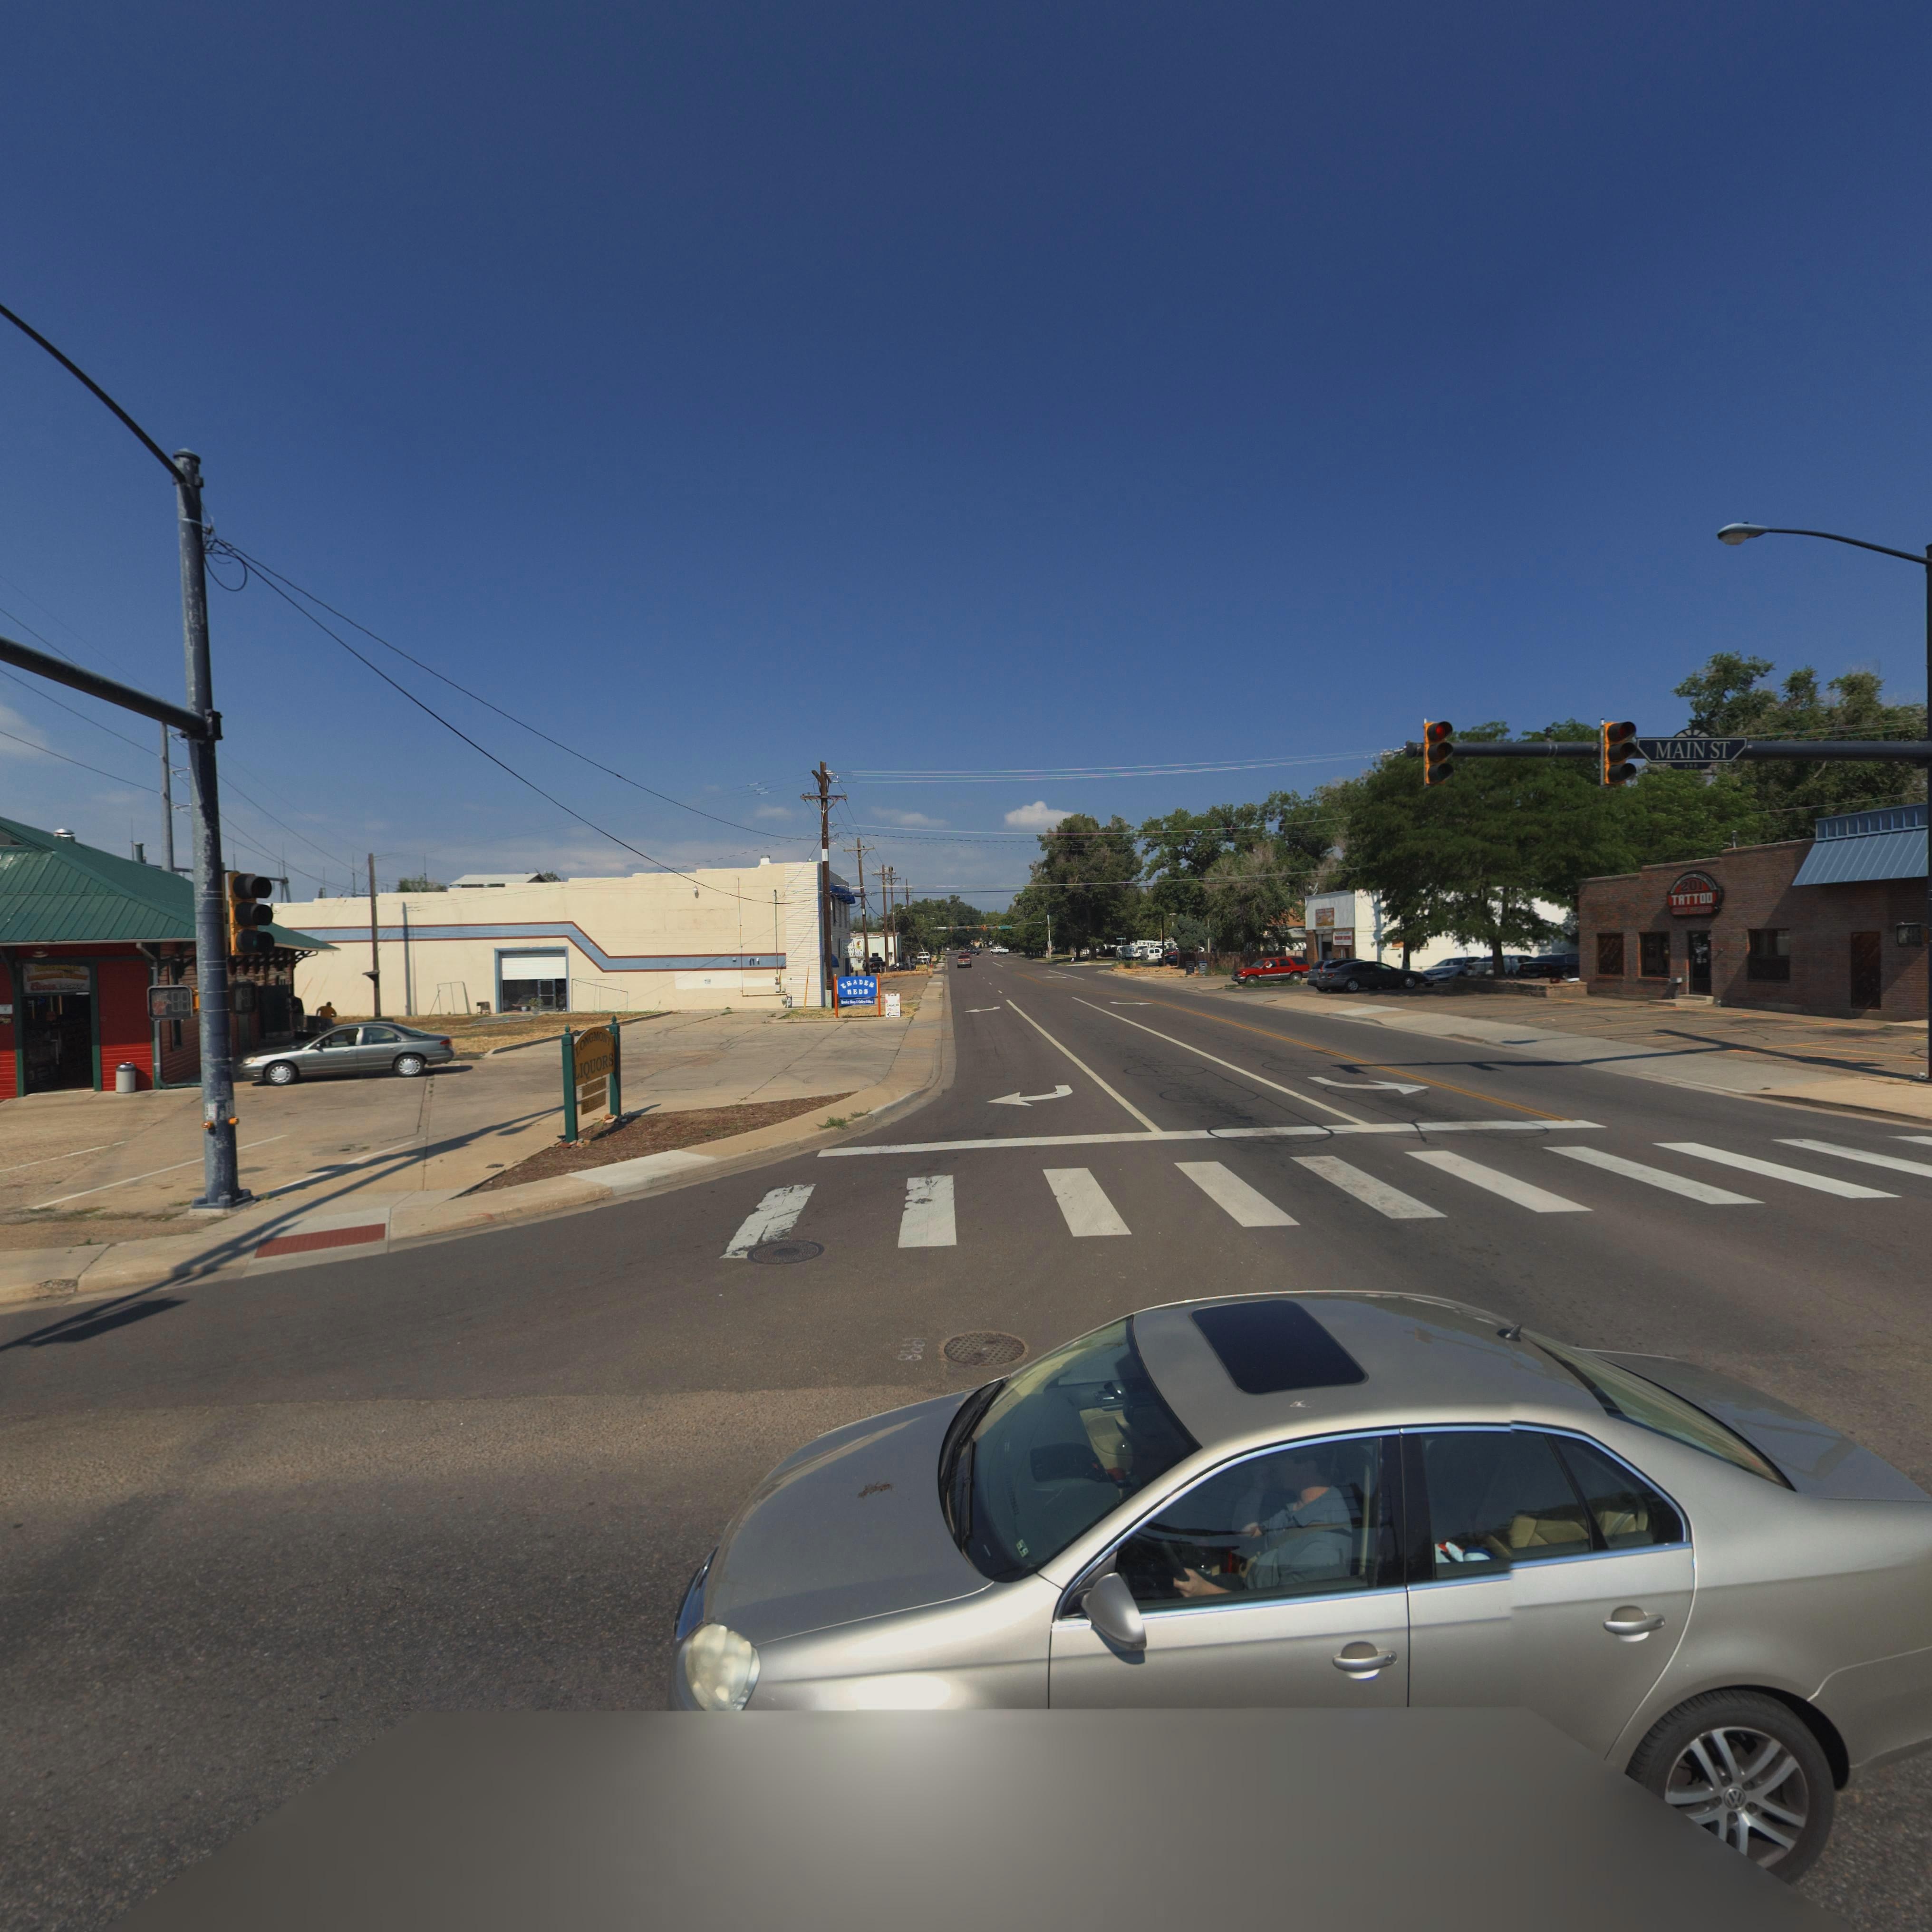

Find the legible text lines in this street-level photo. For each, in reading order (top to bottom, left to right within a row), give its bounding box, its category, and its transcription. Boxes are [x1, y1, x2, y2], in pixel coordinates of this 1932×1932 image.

[1654, 740, 1731, 759] StreetName: MAIN ST
[1681, 879, 1702, 891] StreetNumber: 201
[842, 946, 856, 952] BusinessName: Sa***
[842, 951, 862, 956] BusinessName: S******
[840, 978, 875, 989] BusinessName: T*ADER
[846, 988, 869, 995] BusinessName: *ED*
[575, 1030, 612, 1059] BusinessName: LONGMONT
[574, 1052, 614, 1080] BusinessName: *IQUORS